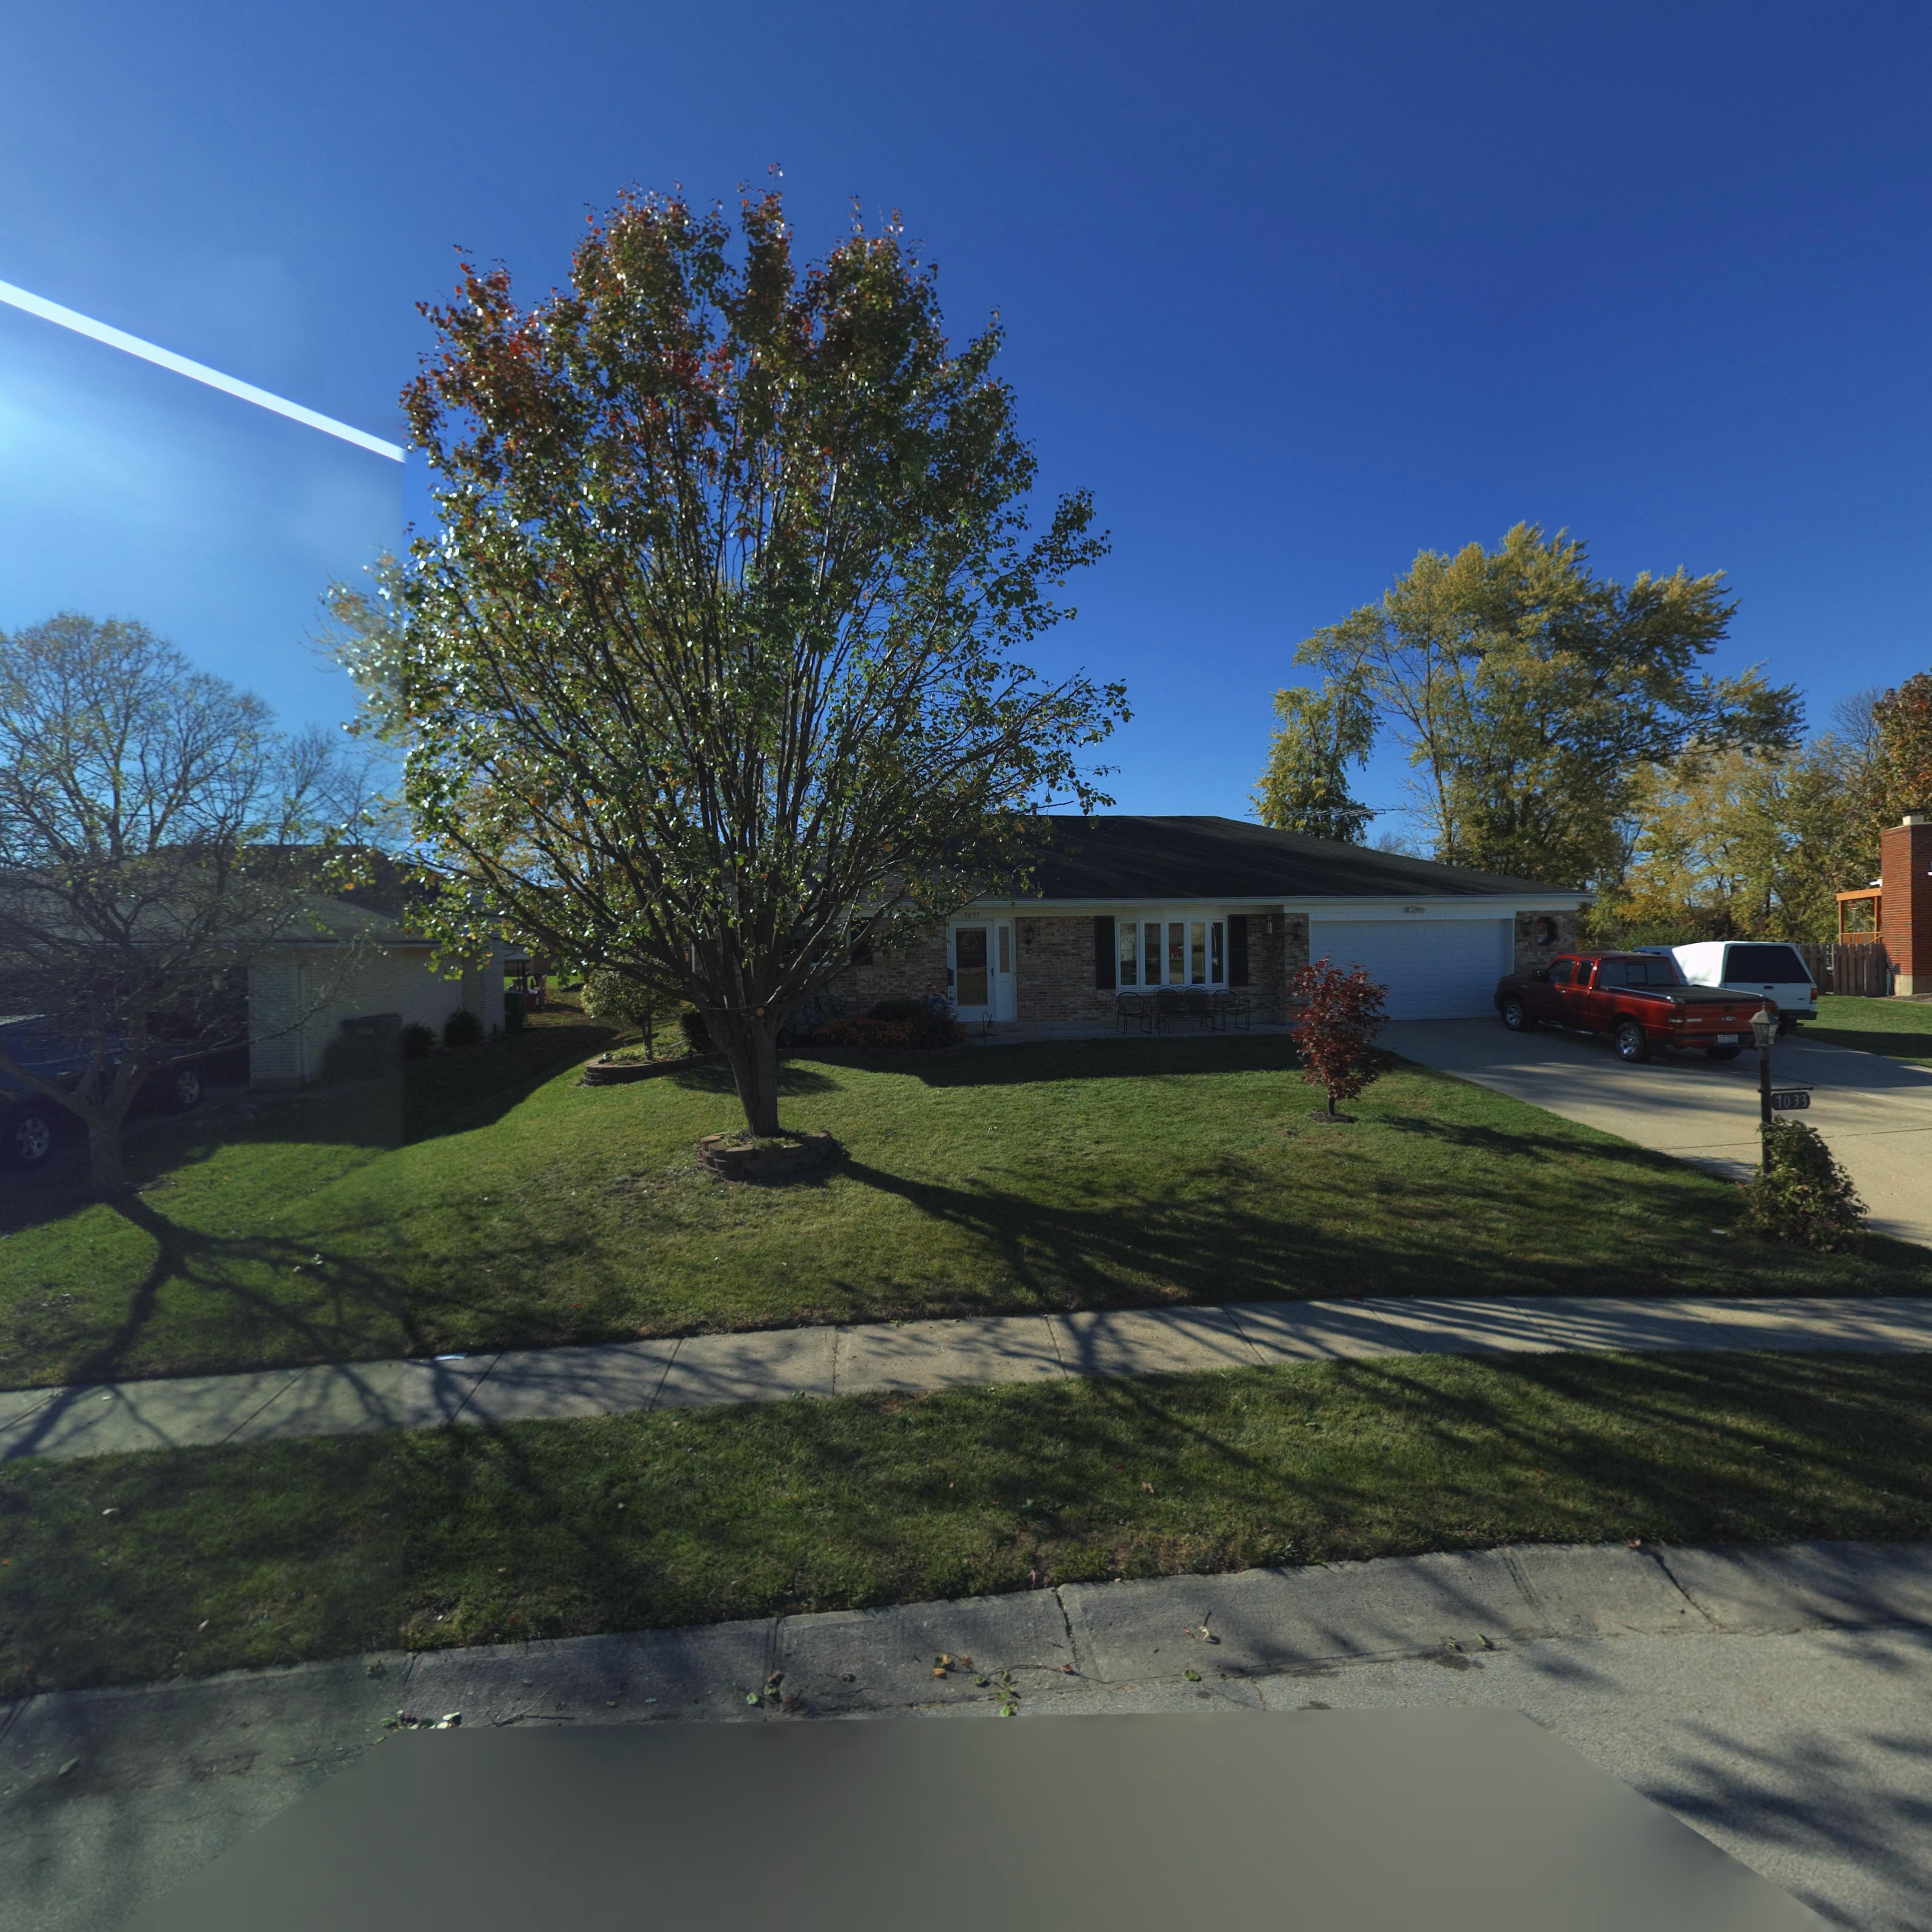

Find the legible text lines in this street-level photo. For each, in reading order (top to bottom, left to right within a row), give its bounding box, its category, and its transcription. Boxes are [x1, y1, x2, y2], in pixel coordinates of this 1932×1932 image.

[963, 911, 980, 918] StreetNumber: 7033
[1774, 1093, 1808, 1110] StreetNumber: 7033